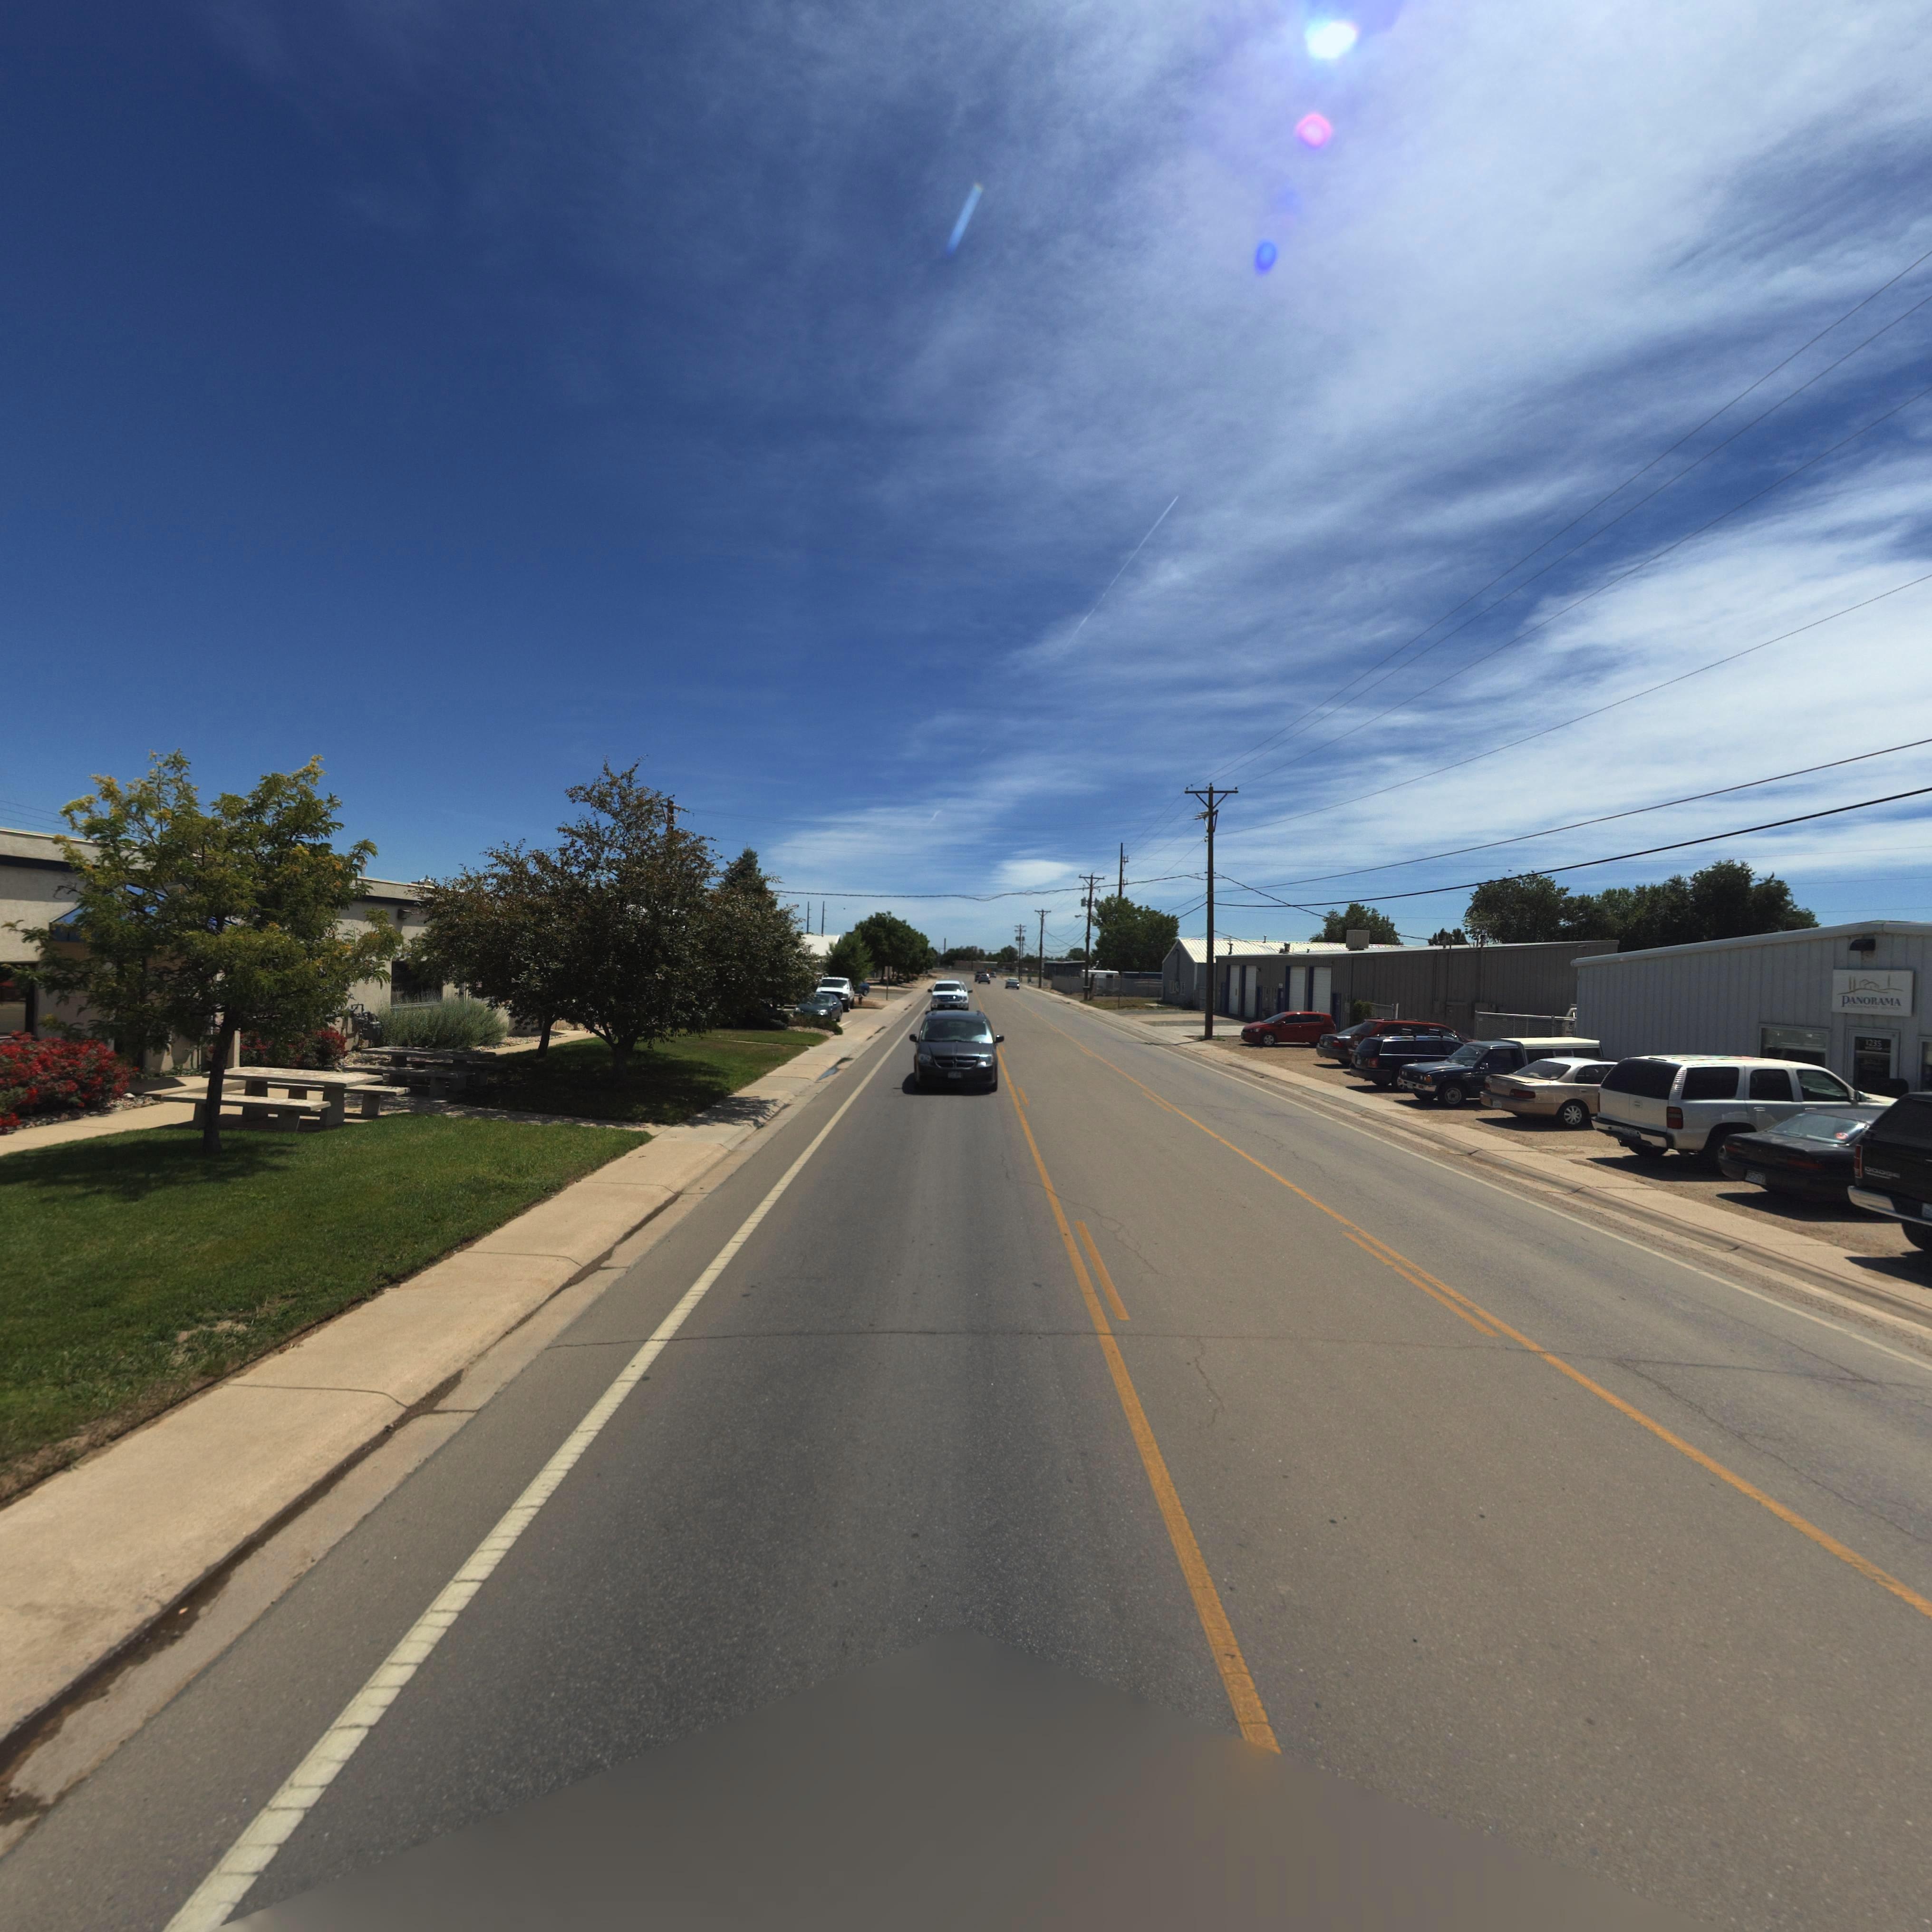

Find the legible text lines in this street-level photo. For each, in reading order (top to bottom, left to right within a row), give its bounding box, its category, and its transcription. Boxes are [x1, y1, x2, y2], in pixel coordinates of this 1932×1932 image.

[1840, 995, 1902, 1008] BusinessName: PANORAMA
[1864, 1038, 1882, 1047] StreetNumber: 1235